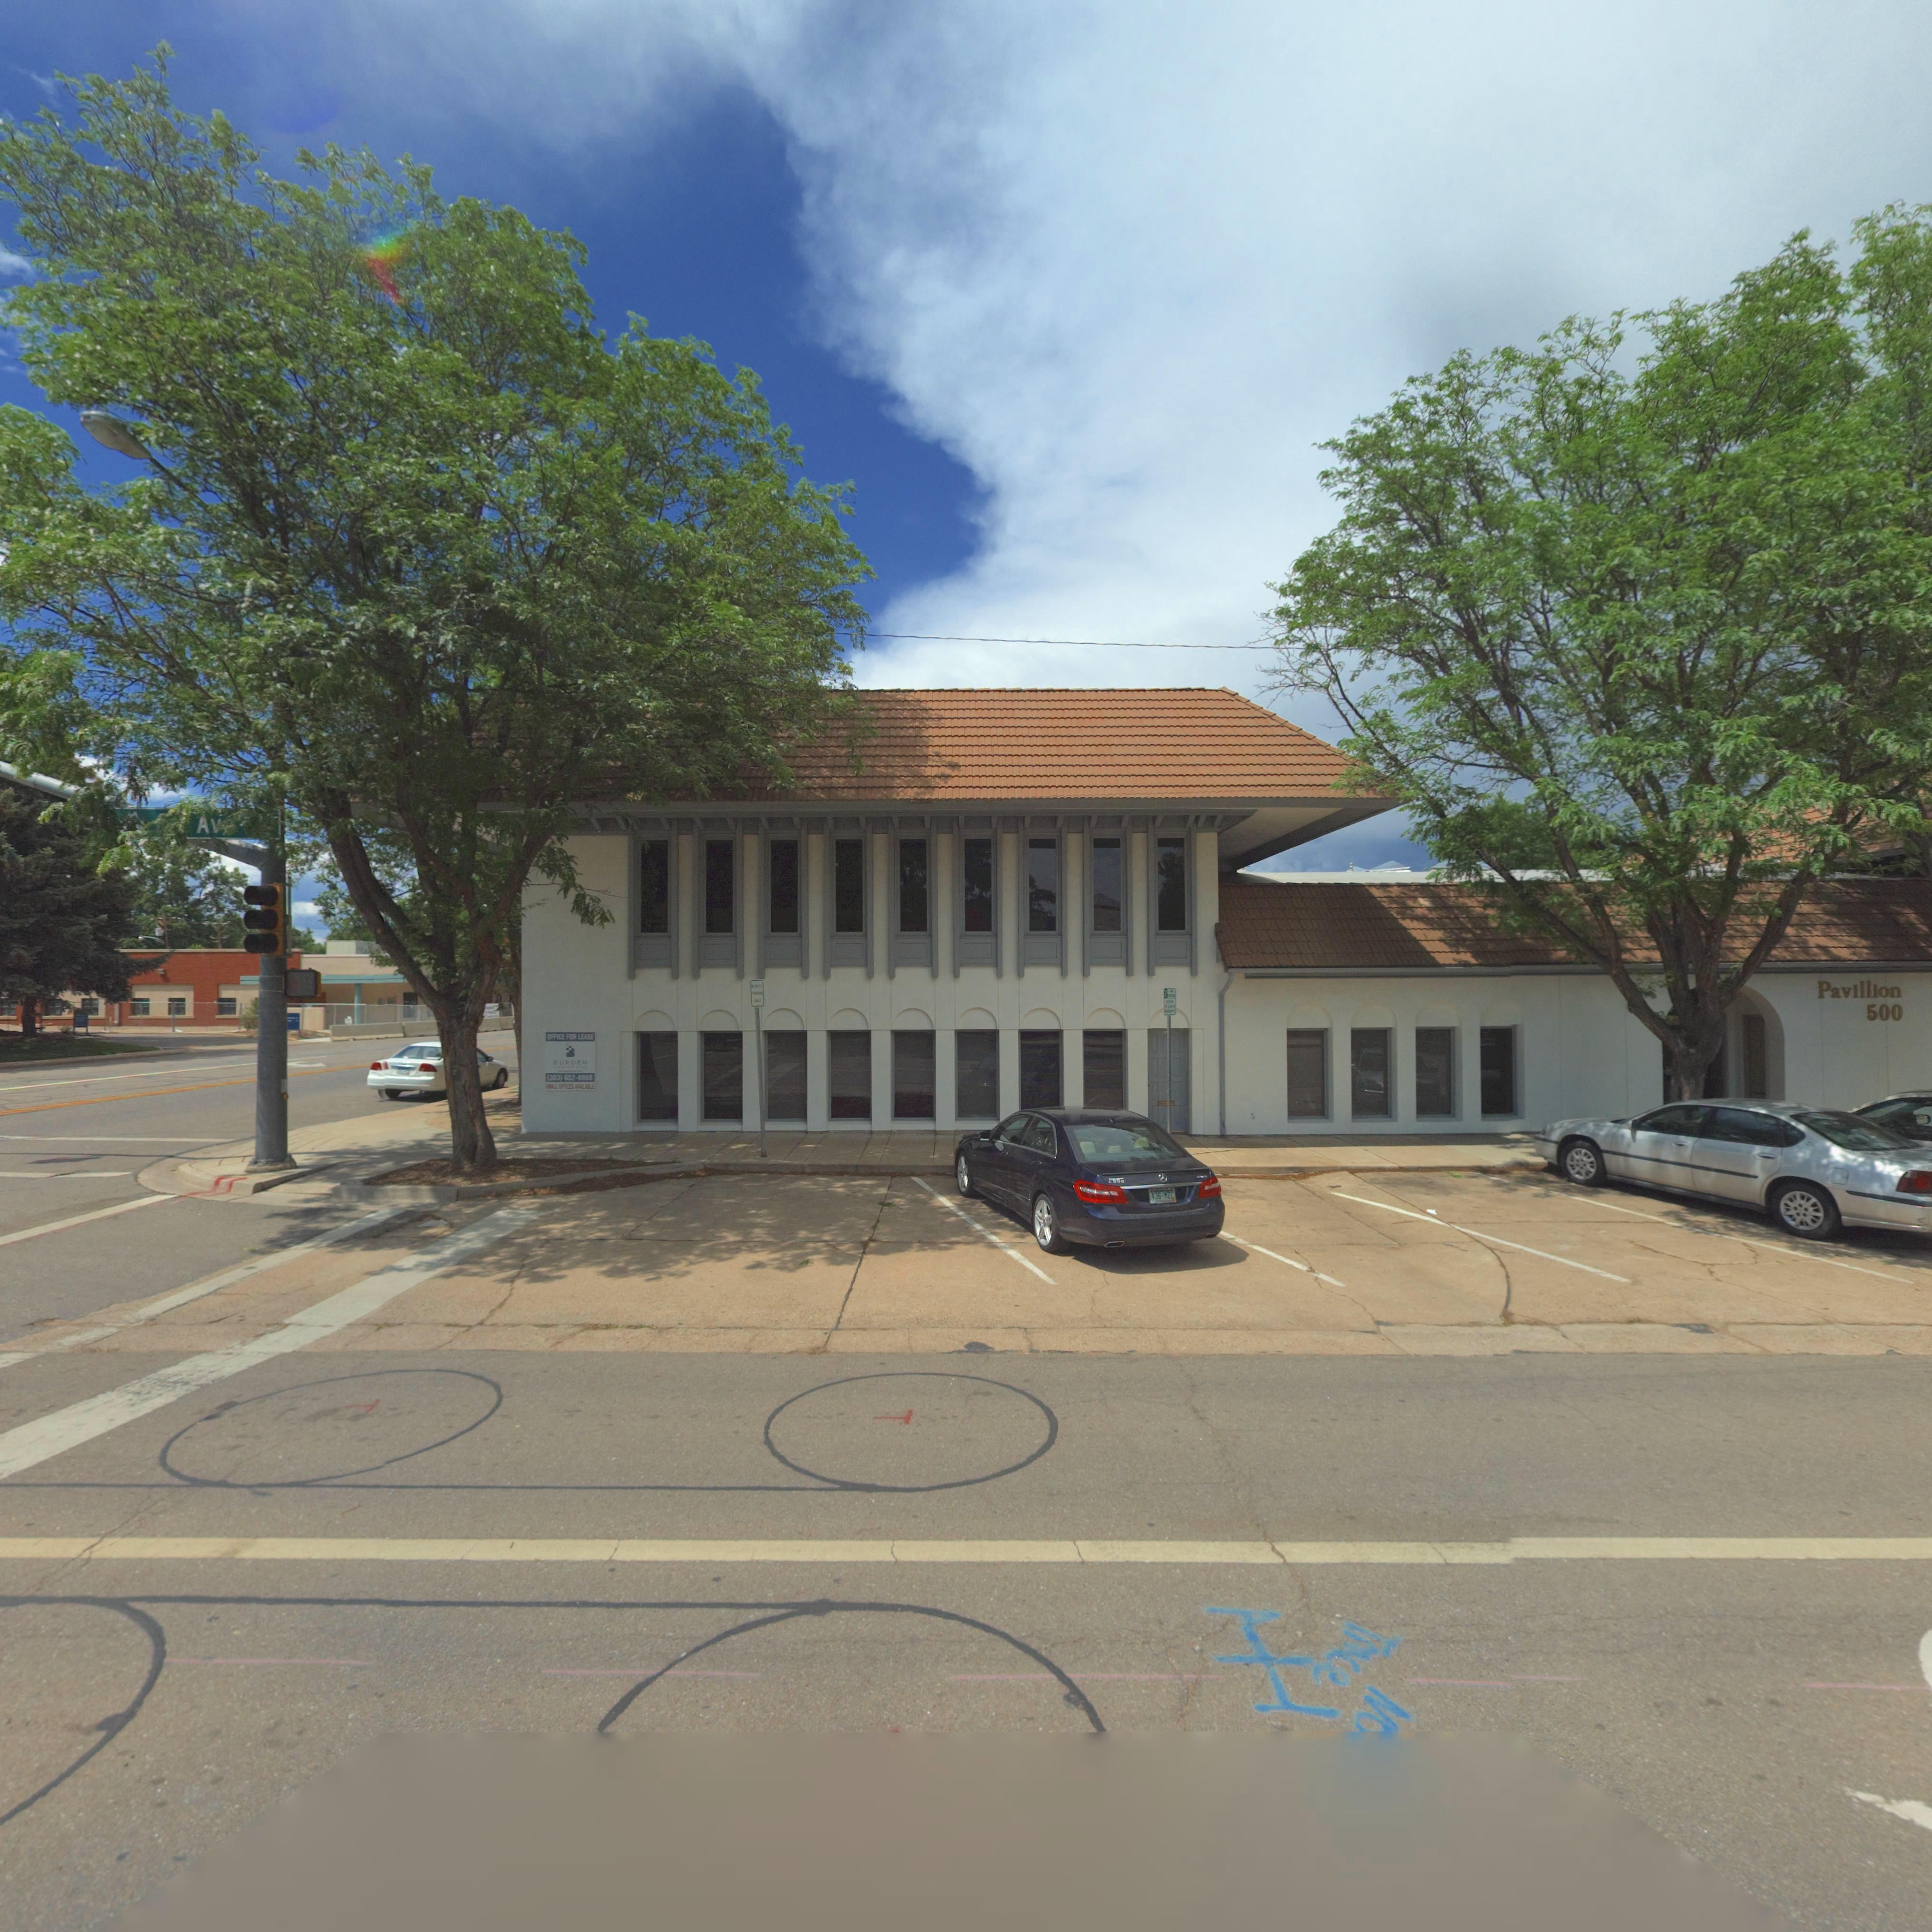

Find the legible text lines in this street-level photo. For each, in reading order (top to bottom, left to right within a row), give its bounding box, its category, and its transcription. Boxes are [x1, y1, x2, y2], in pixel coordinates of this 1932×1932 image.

[196, 812, 236, 833] StreetName: A**
[1866, 1003, 1903, 1021] StreetNumber: 500